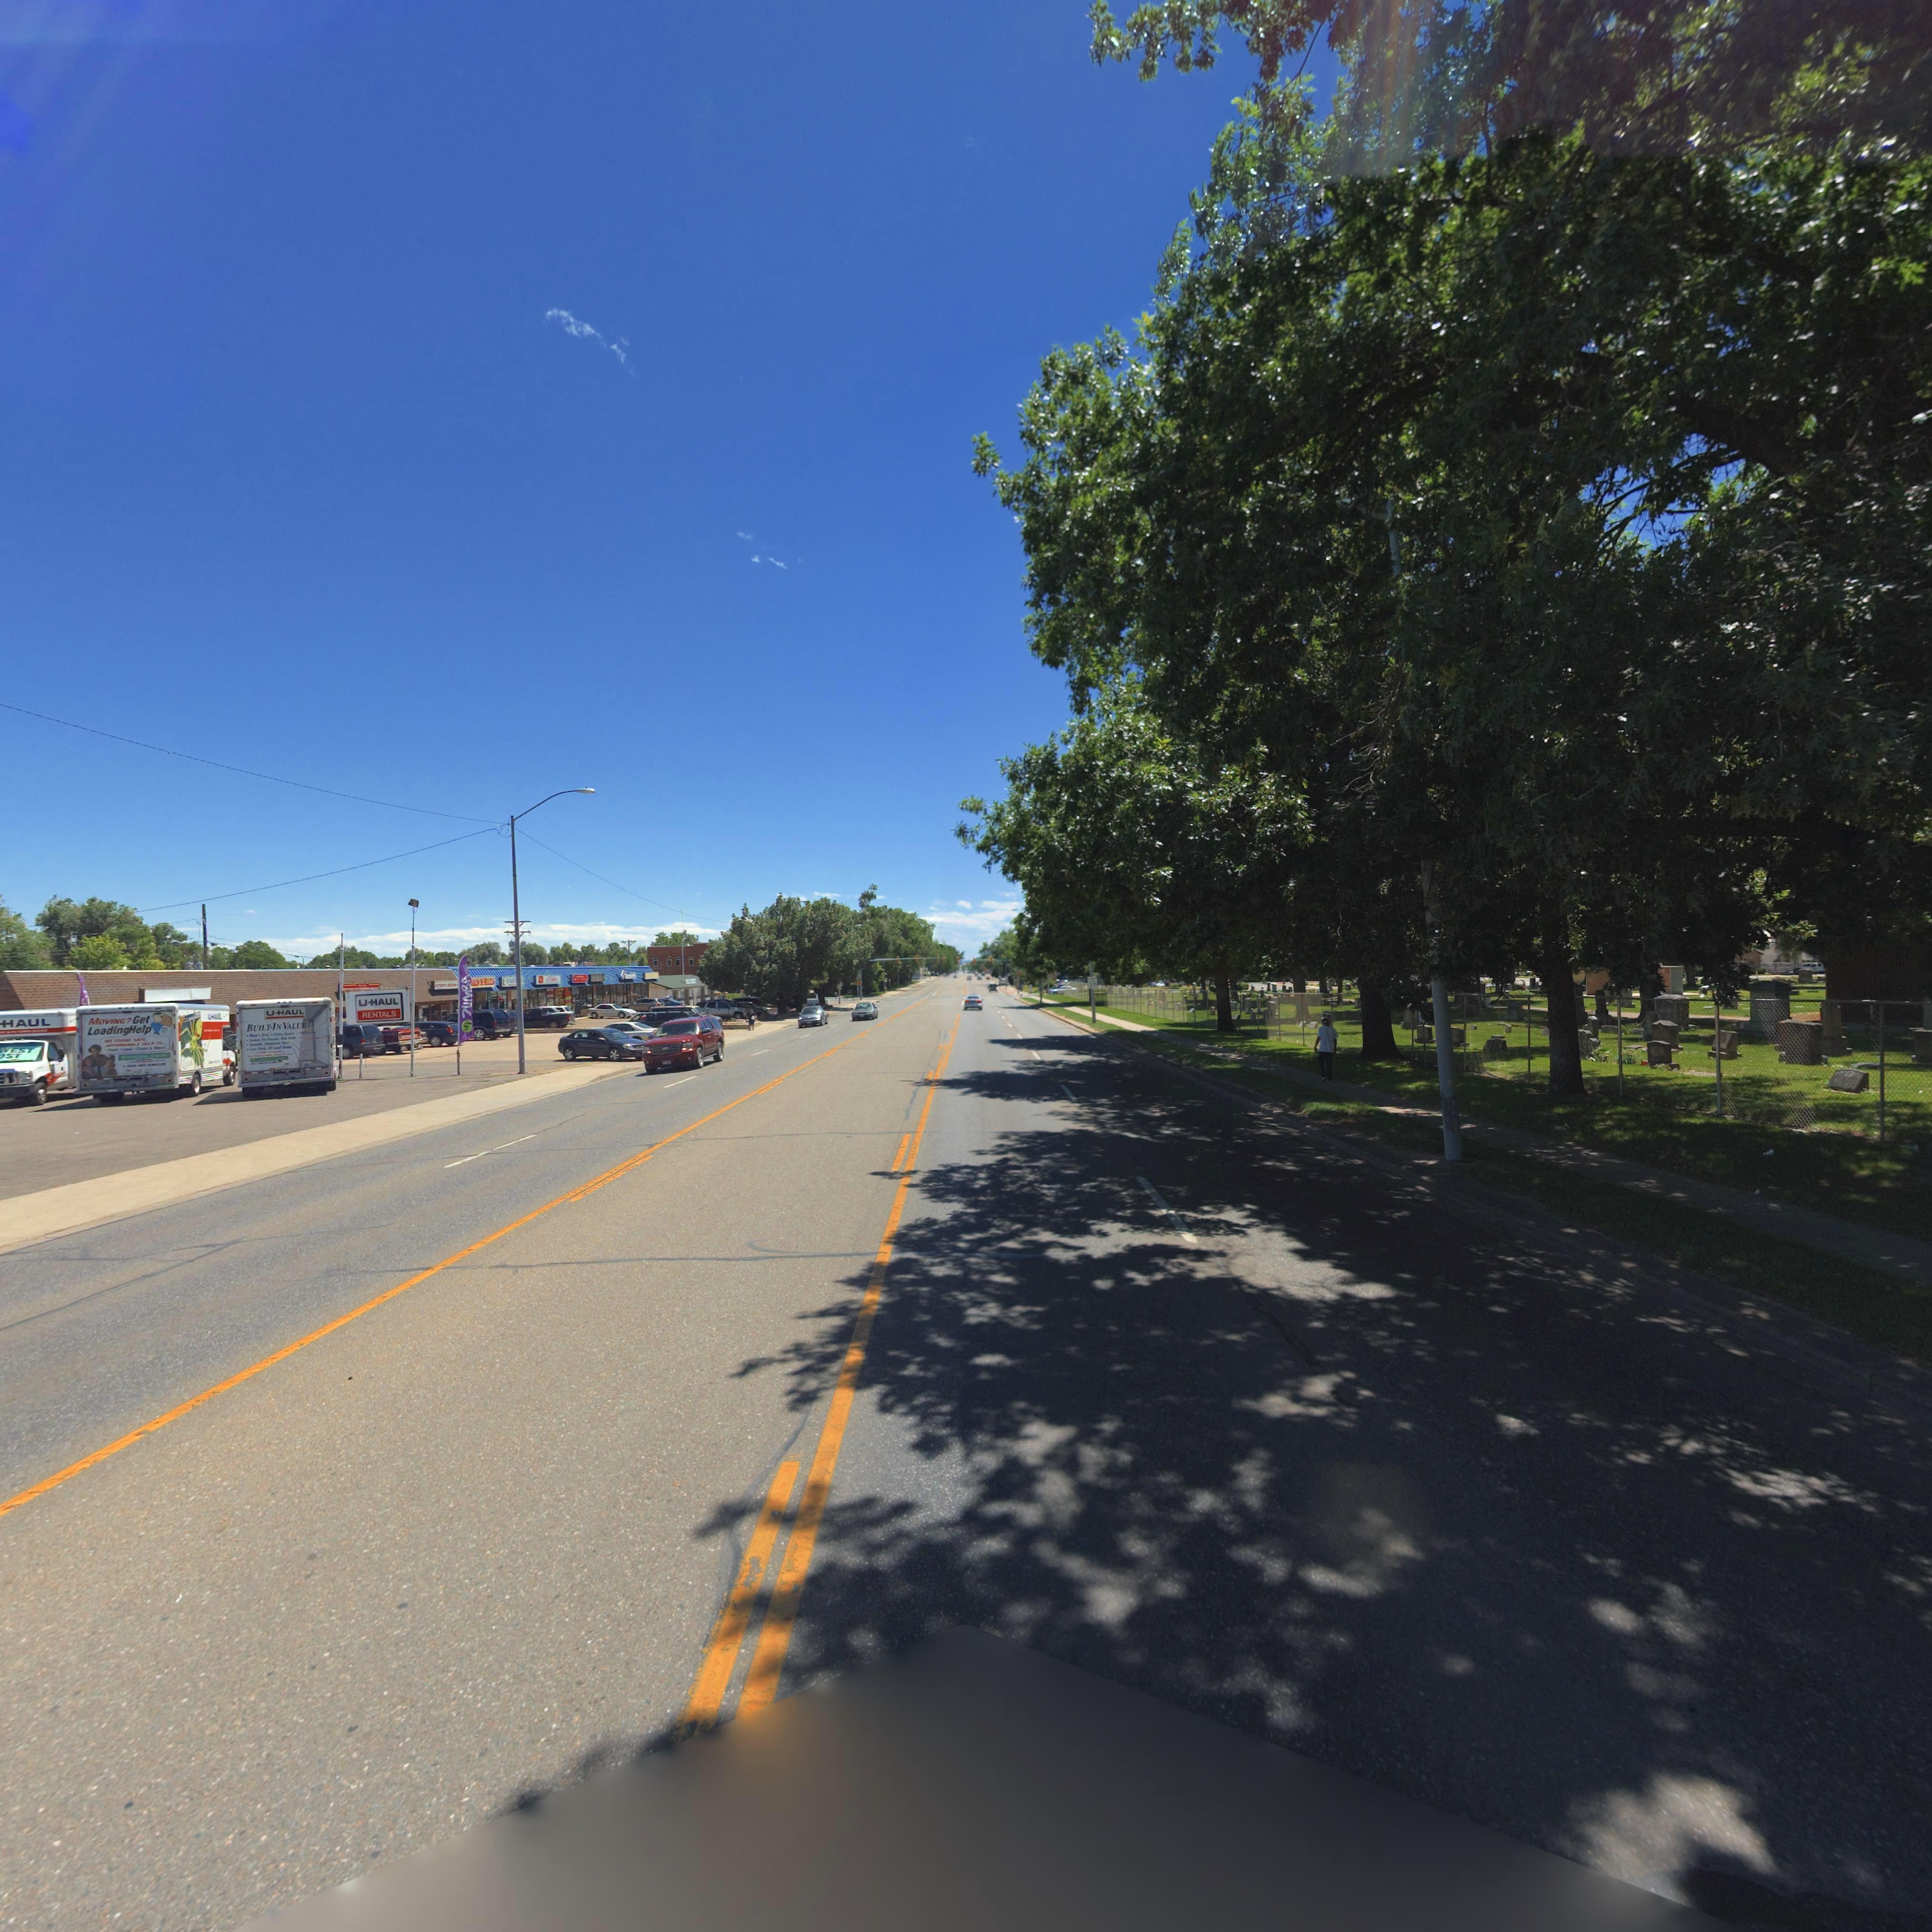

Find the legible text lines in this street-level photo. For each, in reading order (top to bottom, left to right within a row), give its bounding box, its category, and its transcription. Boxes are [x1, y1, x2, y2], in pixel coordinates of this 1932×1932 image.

[471, 978, 495, 986] BusinessName: *ALON DE SE*EZA